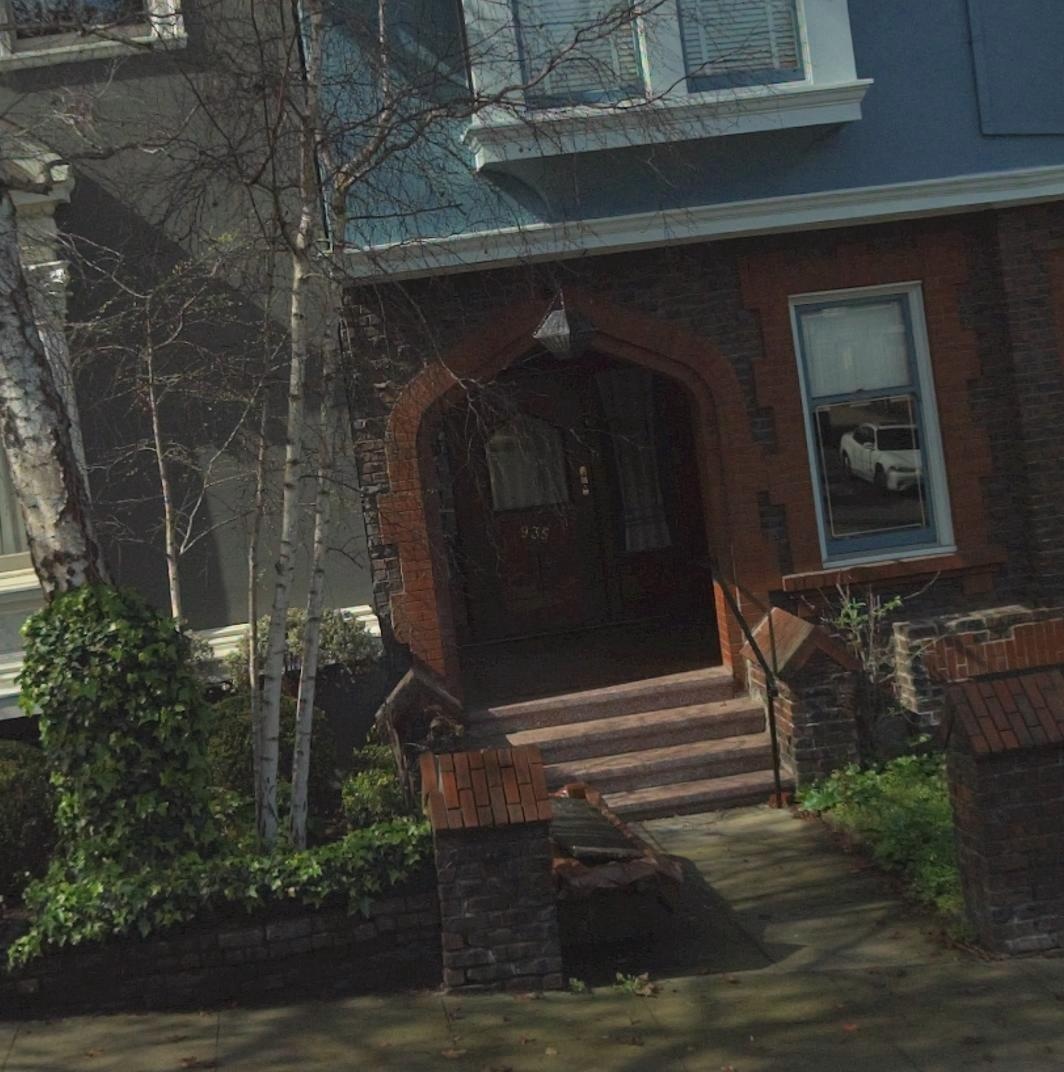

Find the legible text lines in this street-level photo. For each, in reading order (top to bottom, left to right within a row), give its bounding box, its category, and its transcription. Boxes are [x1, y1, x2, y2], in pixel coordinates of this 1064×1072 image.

[517, 521, 553, 544] StreetNumber: 935